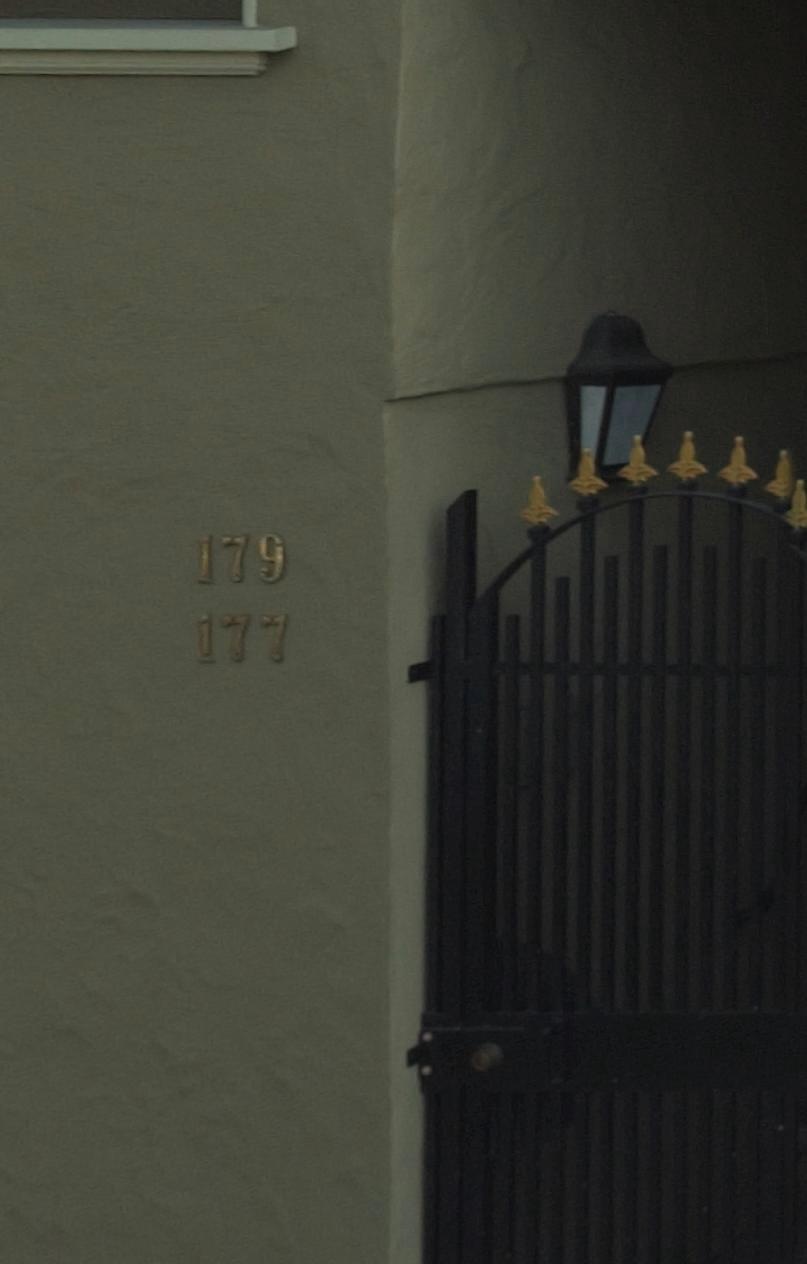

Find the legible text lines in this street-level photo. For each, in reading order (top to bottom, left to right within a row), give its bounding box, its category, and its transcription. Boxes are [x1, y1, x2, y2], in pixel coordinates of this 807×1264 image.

[193, 530, 289, 589] StreetNumber: 179
[193, 610, 291, 667] StreetNumber: 177